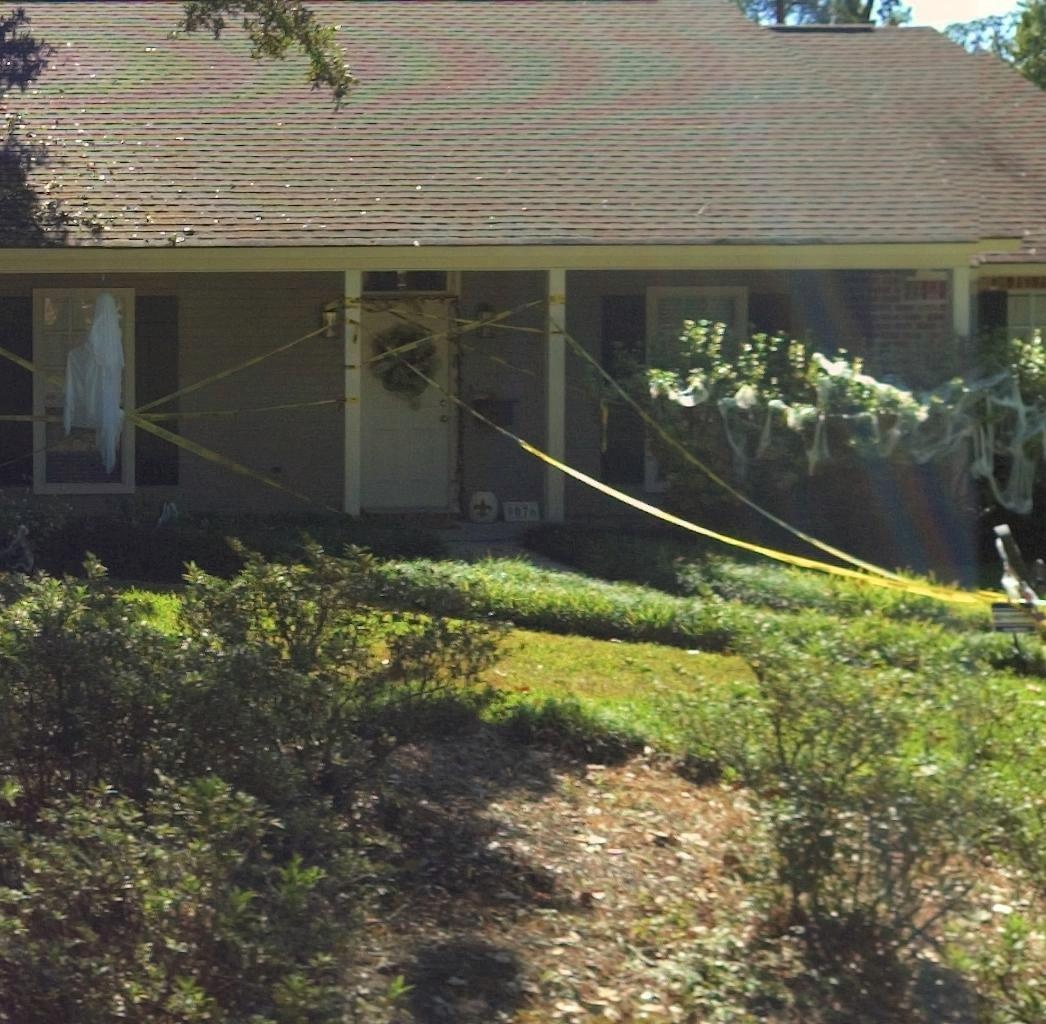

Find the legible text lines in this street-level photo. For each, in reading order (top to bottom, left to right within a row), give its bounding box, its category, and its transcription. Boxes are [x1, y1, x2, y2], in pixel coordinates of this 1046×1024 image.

[505, 504, 538, 520] StreetNumber: 9076